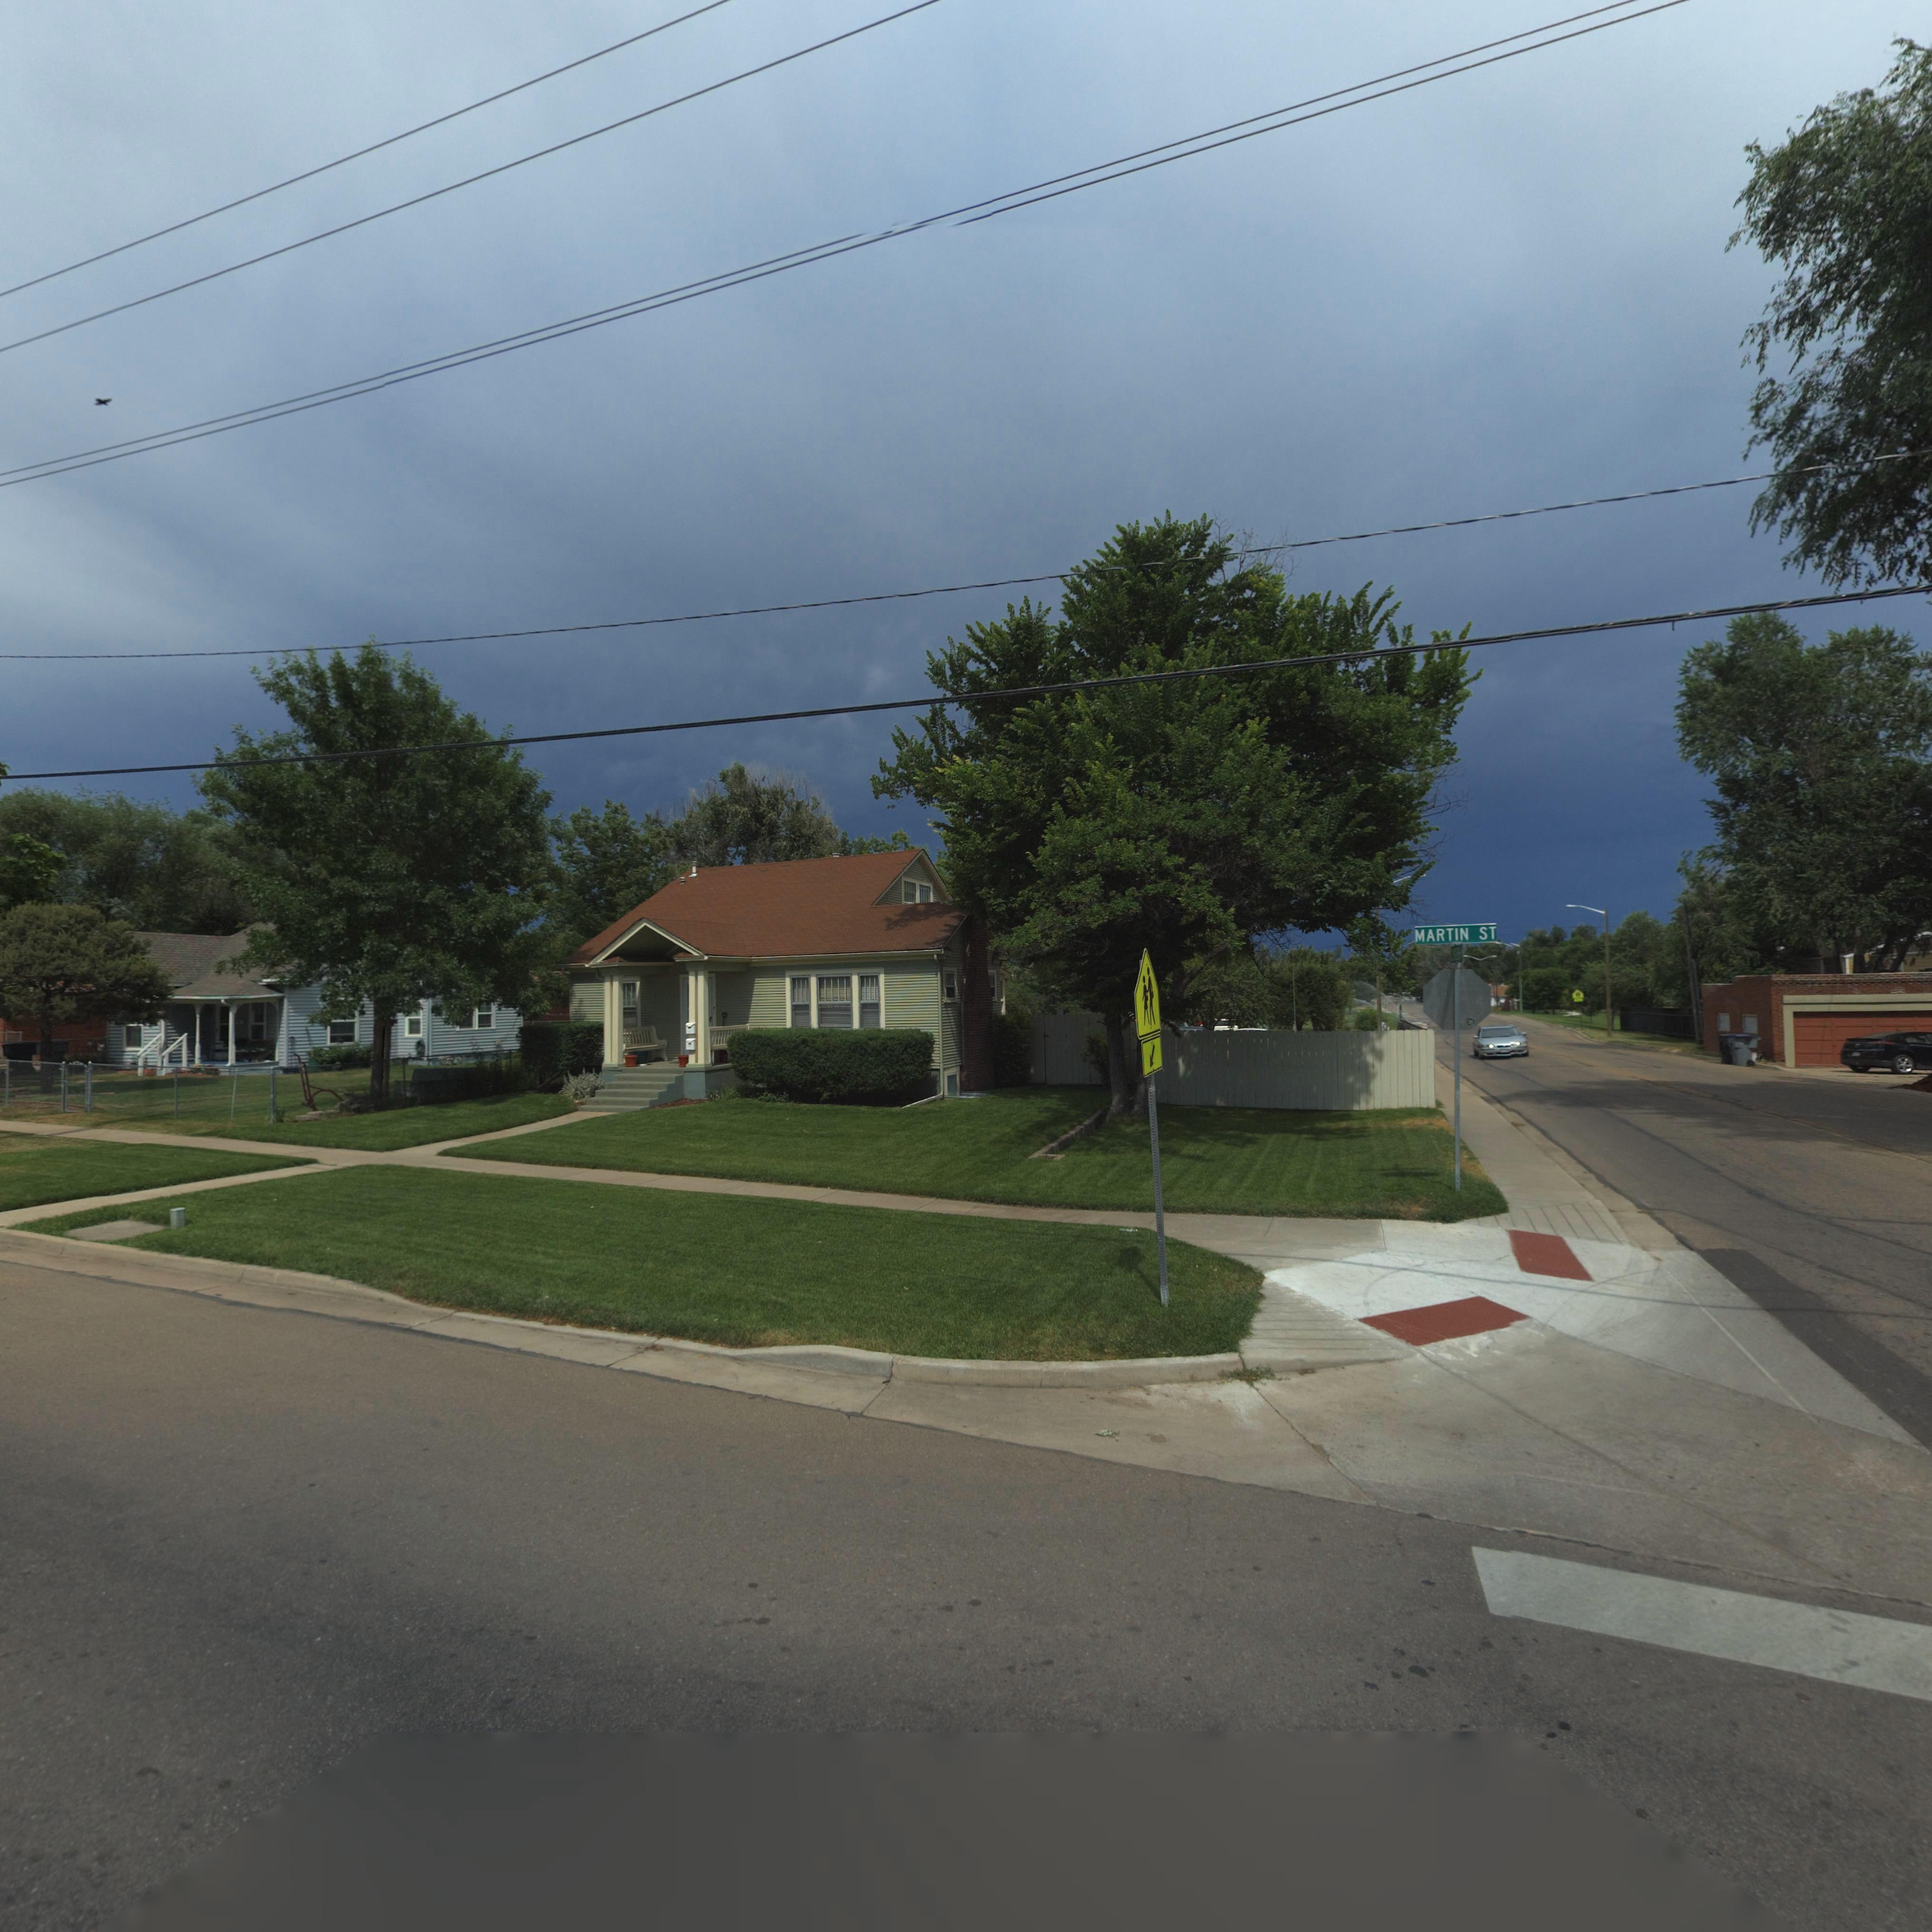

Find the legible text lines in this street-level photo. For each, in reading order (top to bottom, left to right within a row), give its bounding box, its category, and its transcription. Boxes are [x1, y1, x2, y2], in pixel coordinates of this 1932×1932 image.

[1413, 926, 1497, 942] BusinessName: MARTIN ST